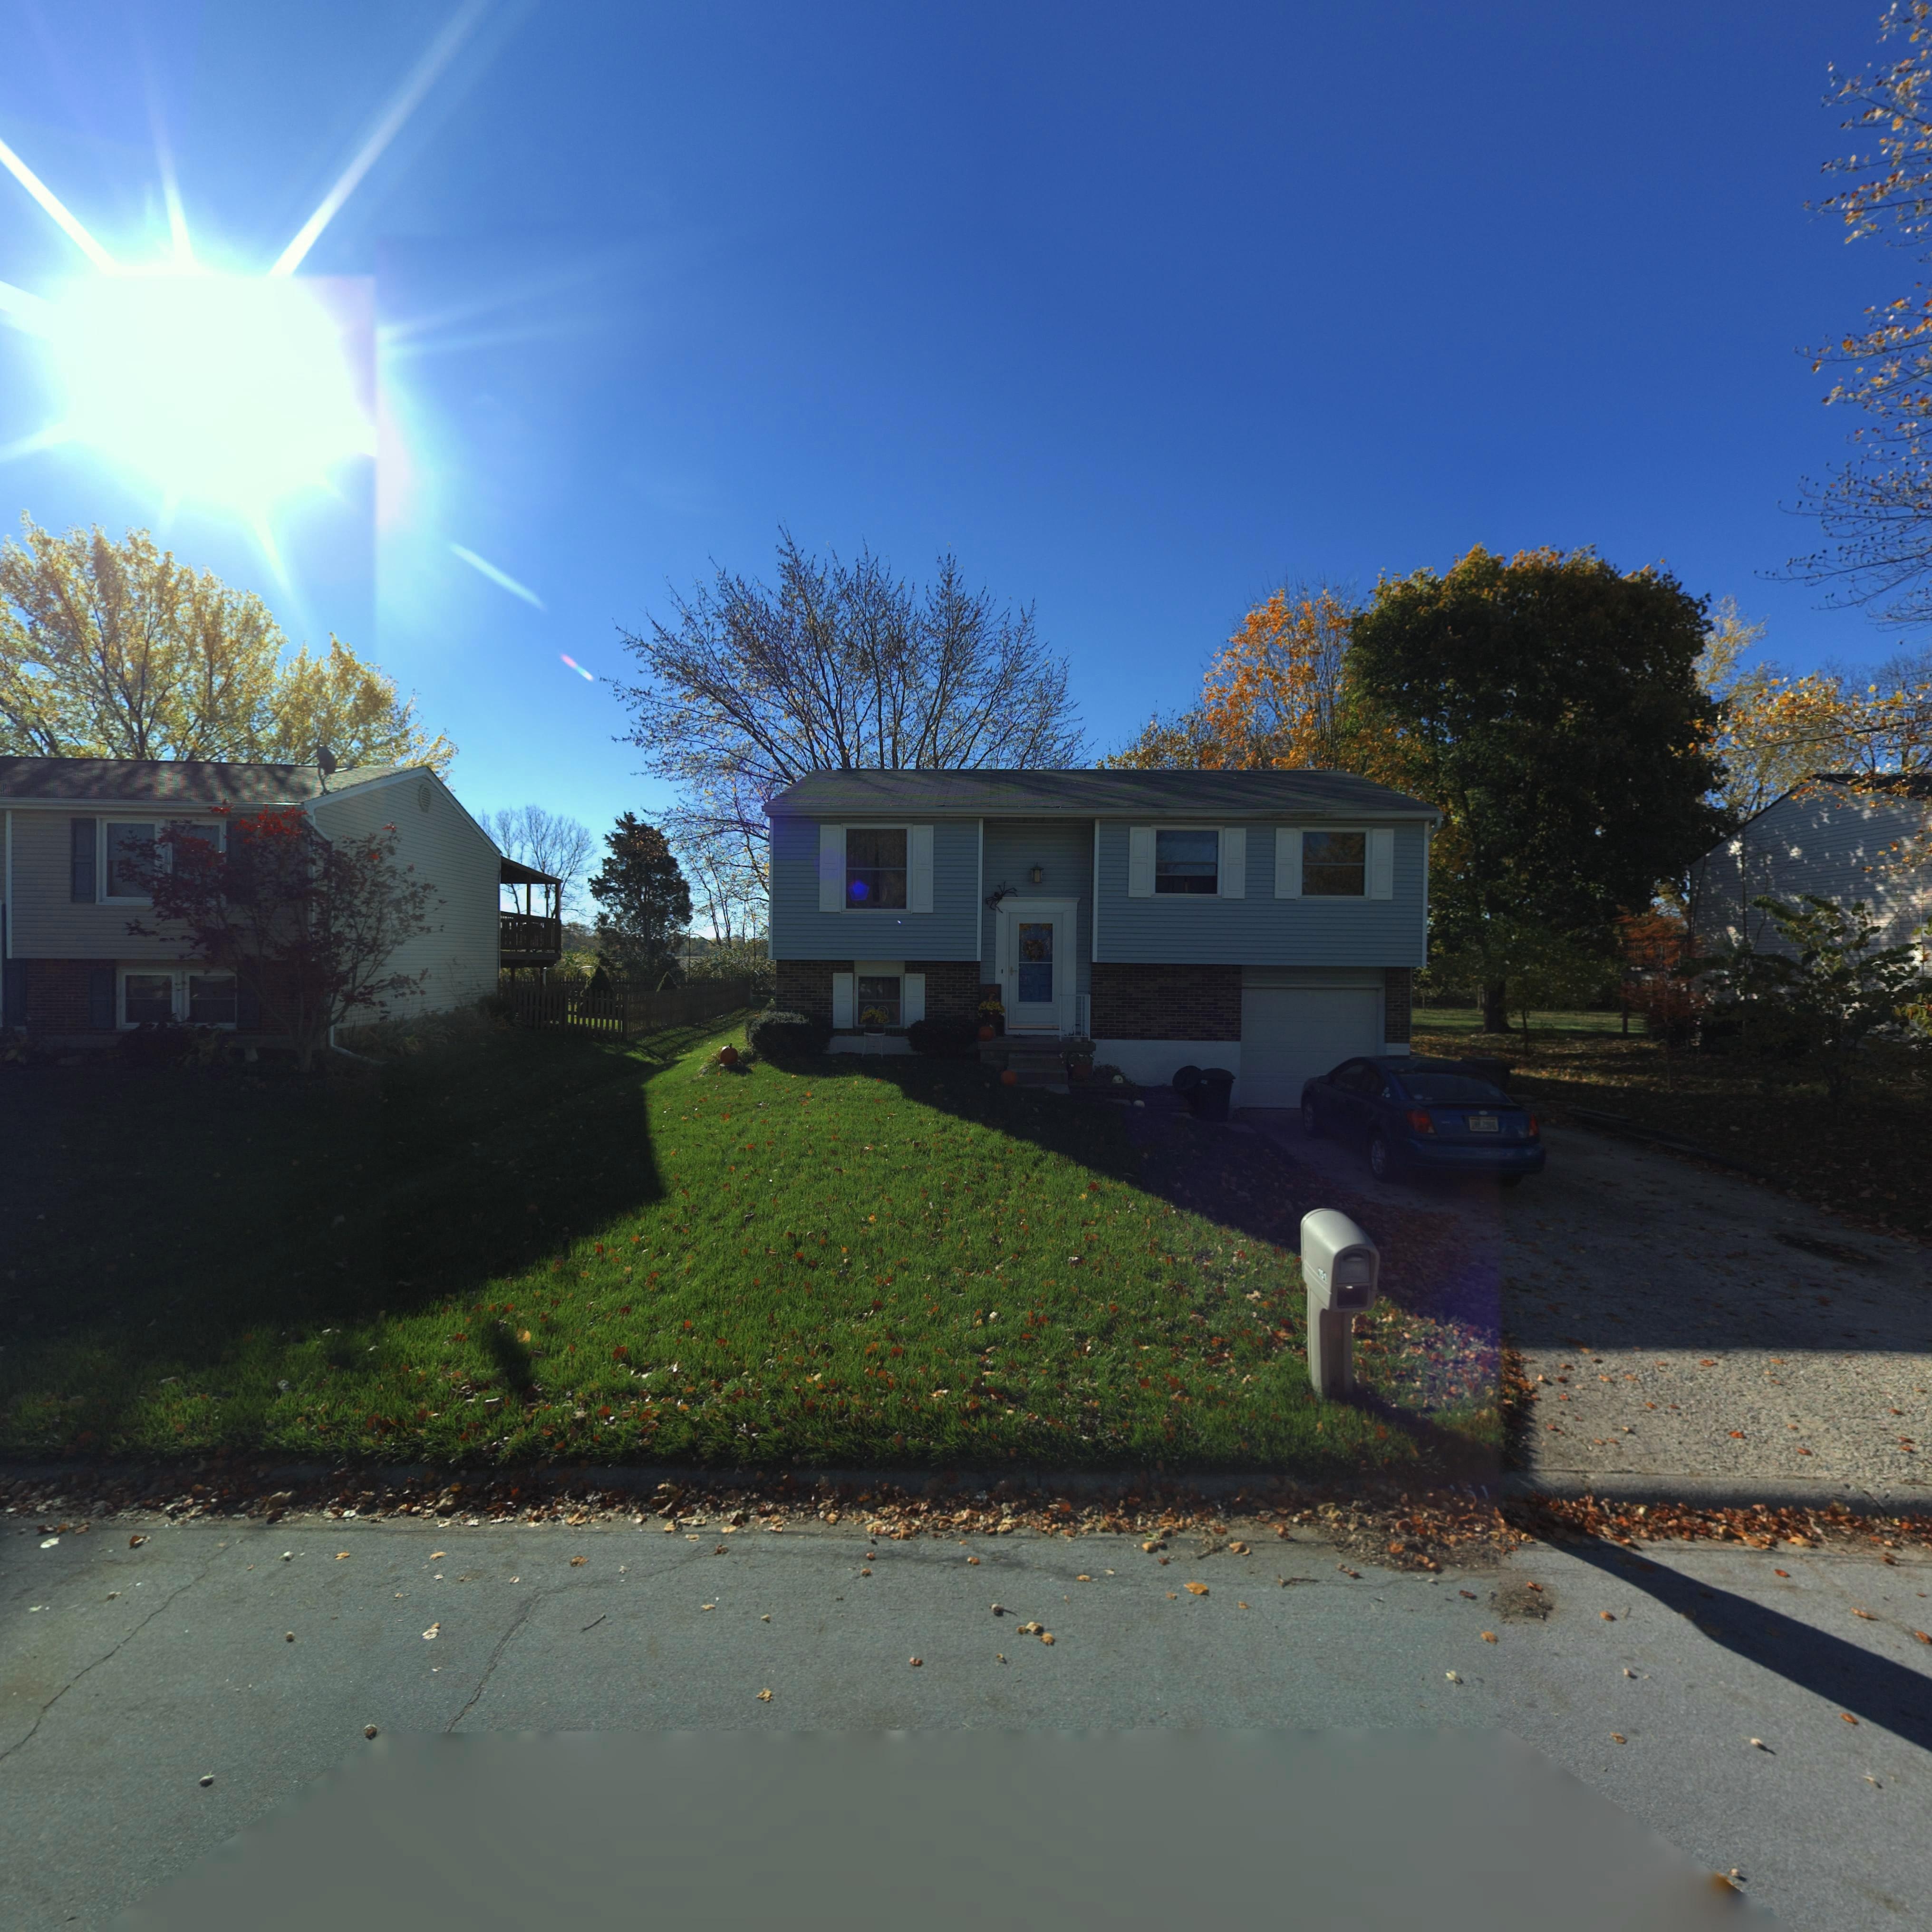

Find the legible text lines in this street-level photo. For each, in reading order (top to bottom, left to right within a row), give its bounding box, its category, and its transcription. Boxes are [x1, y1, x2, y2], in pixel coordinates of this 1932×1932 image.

[1317, 1266, 1328, 1283] StreetNumber: 151